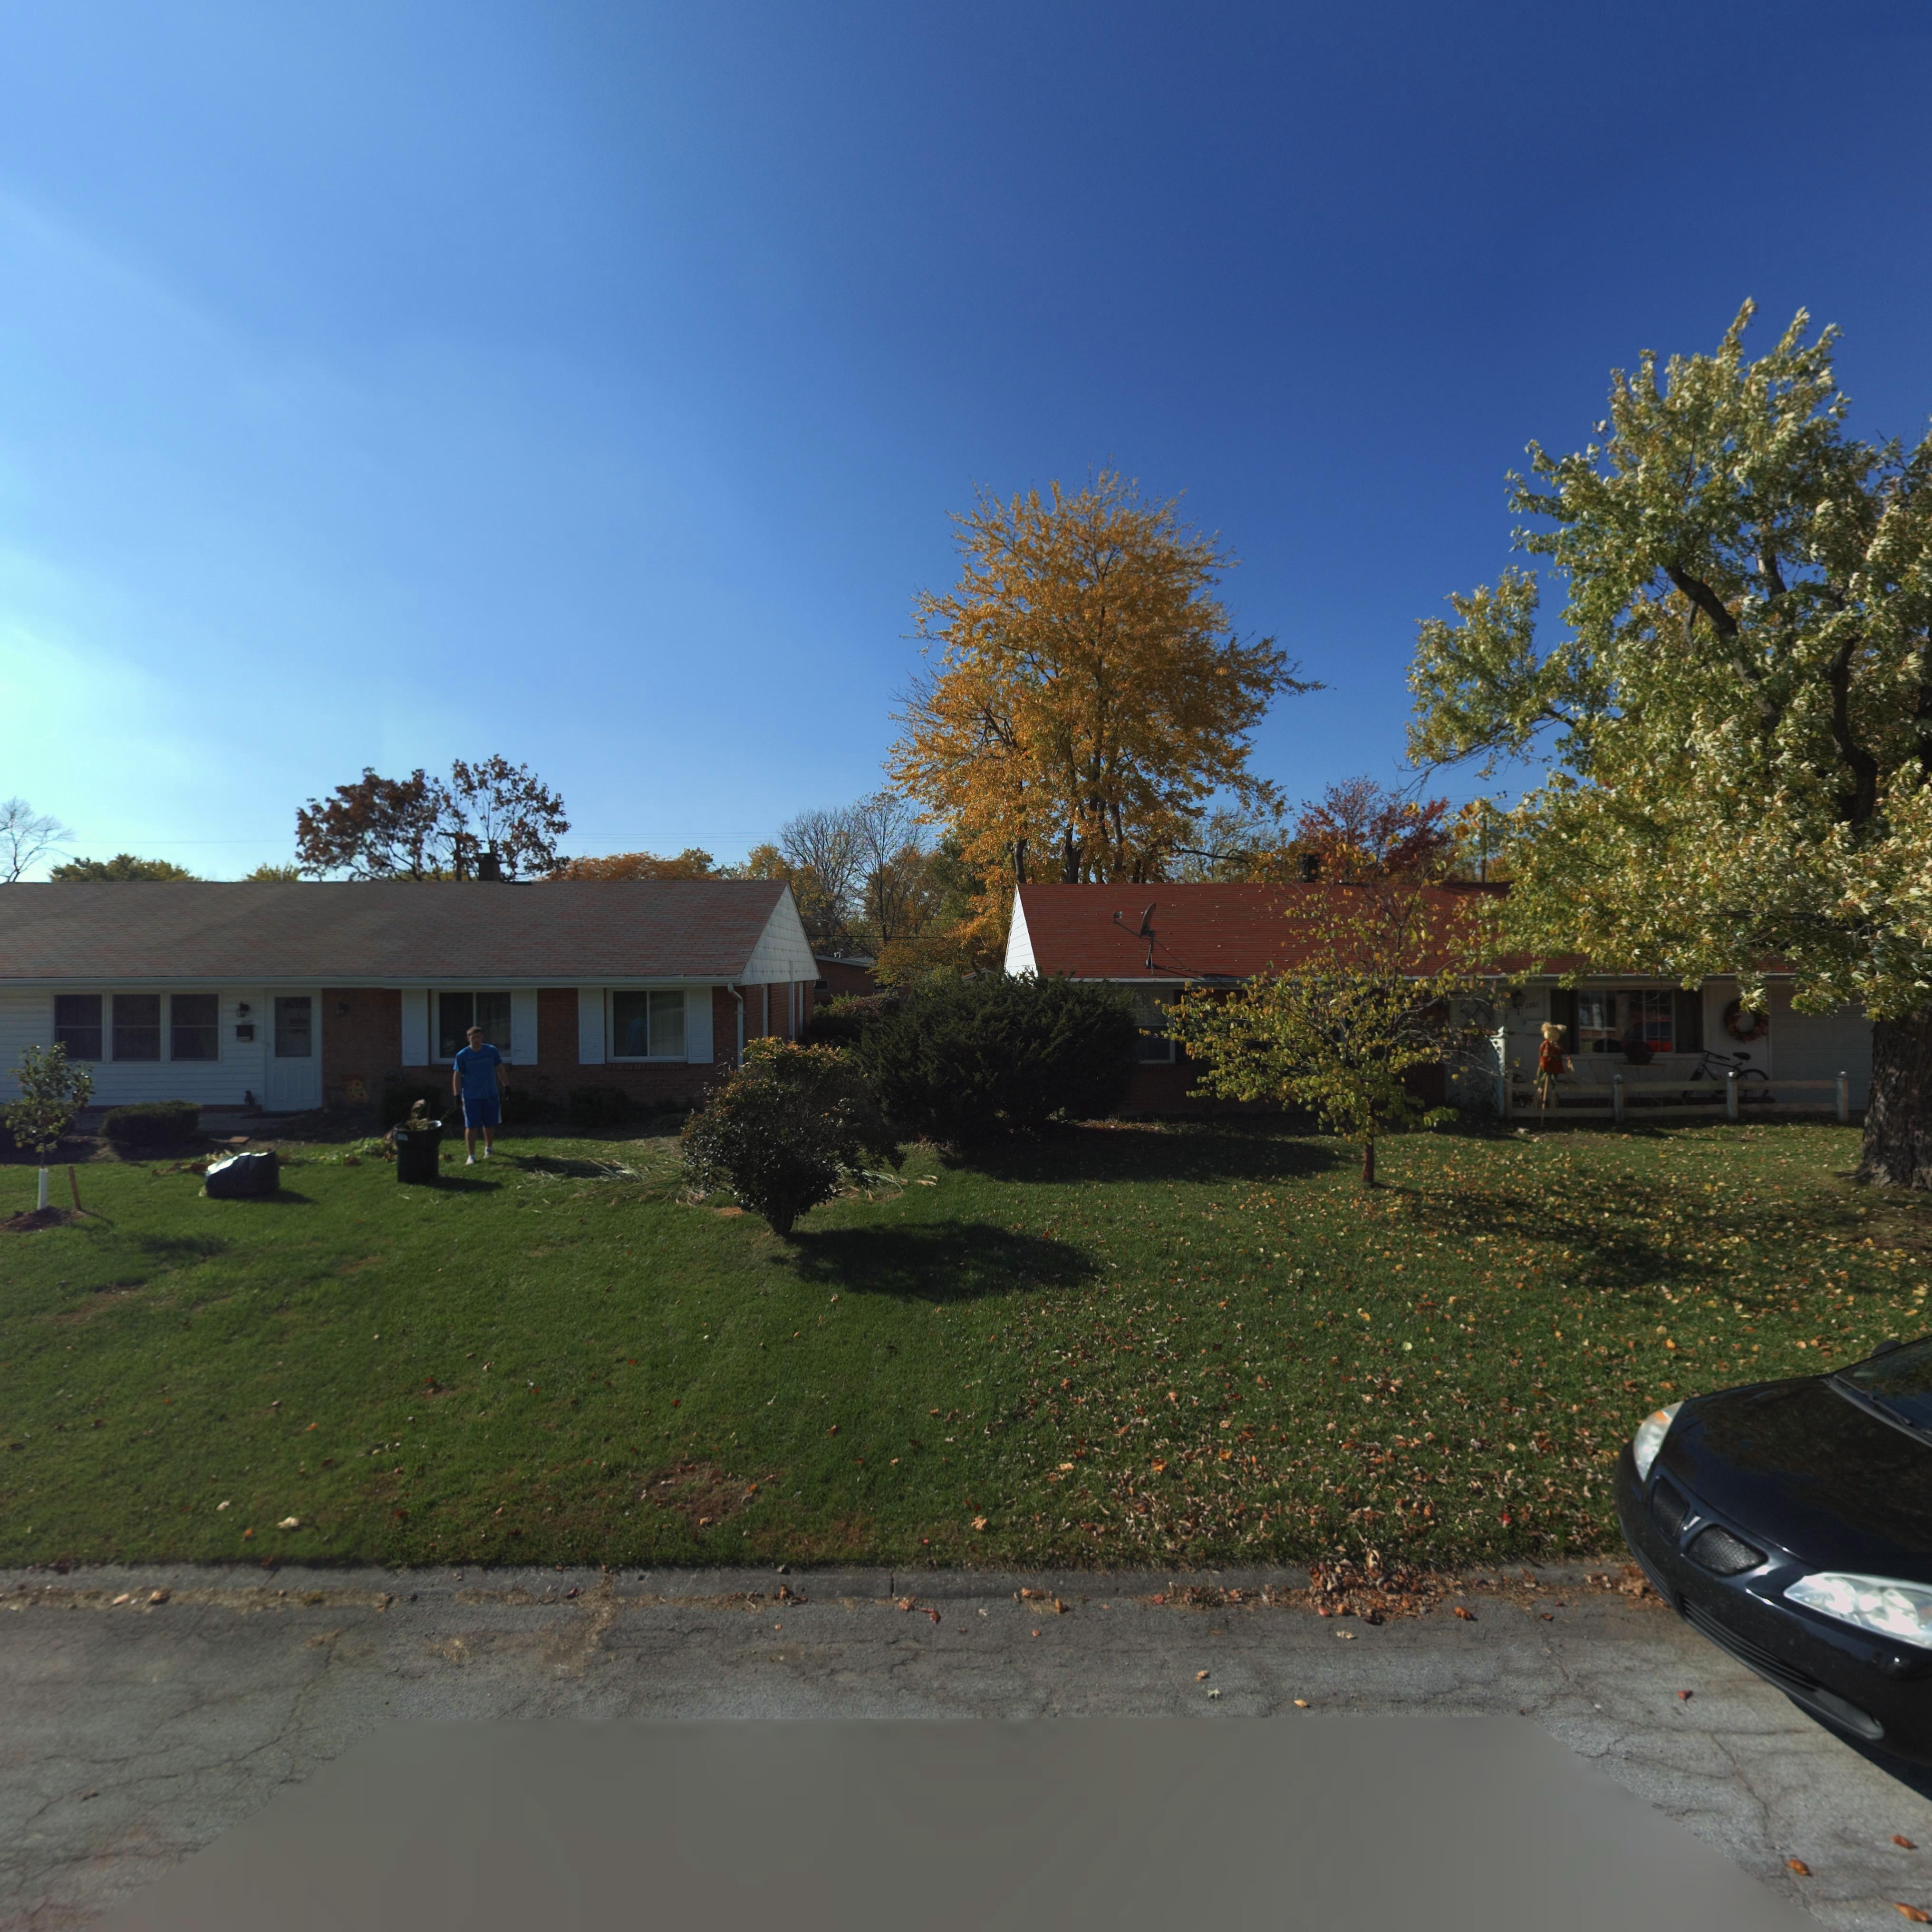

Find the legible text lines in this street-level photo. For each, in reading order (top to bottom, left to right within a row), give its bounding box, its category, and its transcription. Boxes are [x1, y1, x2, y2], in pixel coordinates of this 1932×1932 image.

[1524, 1001, 1539, 1010] StreetNumber: *8**